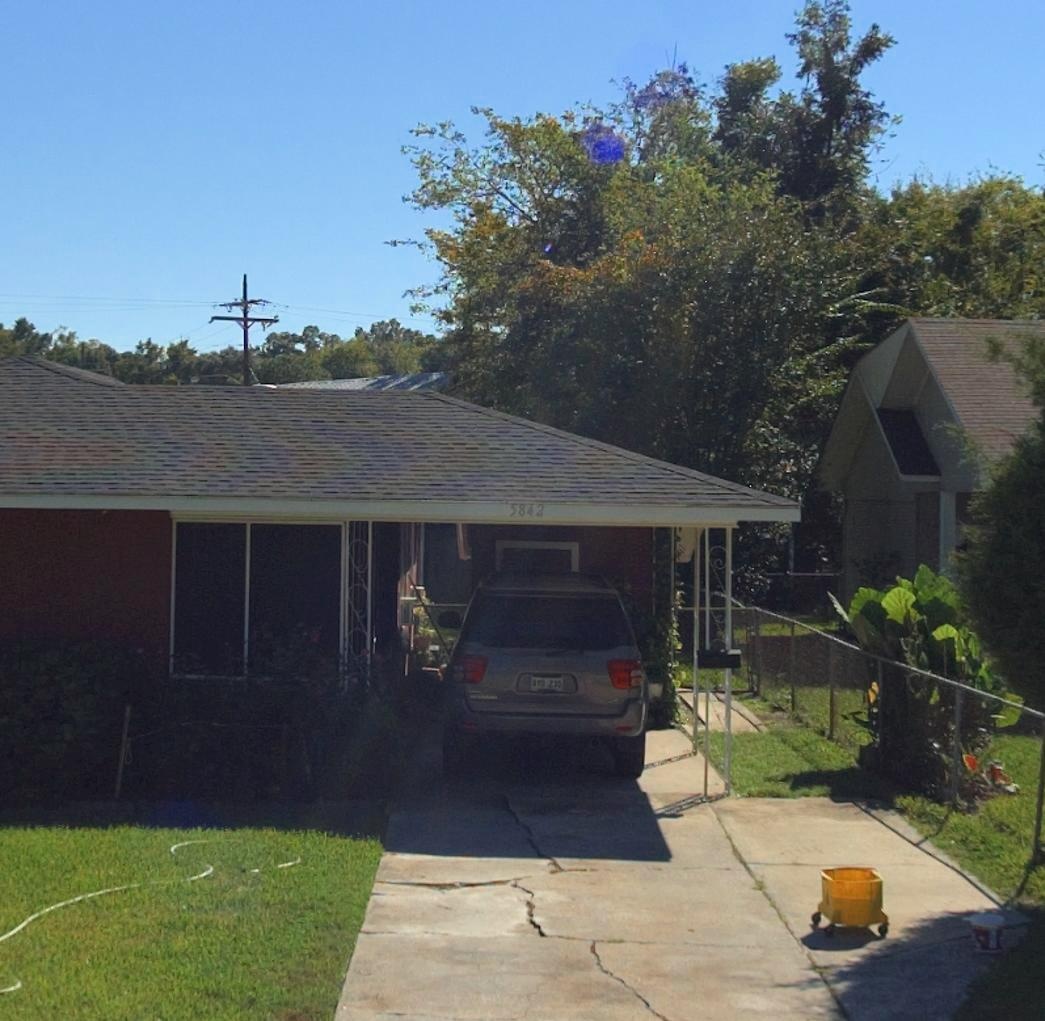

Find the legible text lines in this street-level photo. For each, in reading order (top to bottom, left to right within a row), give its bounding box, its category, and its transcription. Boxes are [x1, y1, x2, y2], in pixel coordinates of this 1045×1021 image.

[508, 501, 545, 519] StreetNumber: 5842
[531, 677, 563, 689] None: *** 235